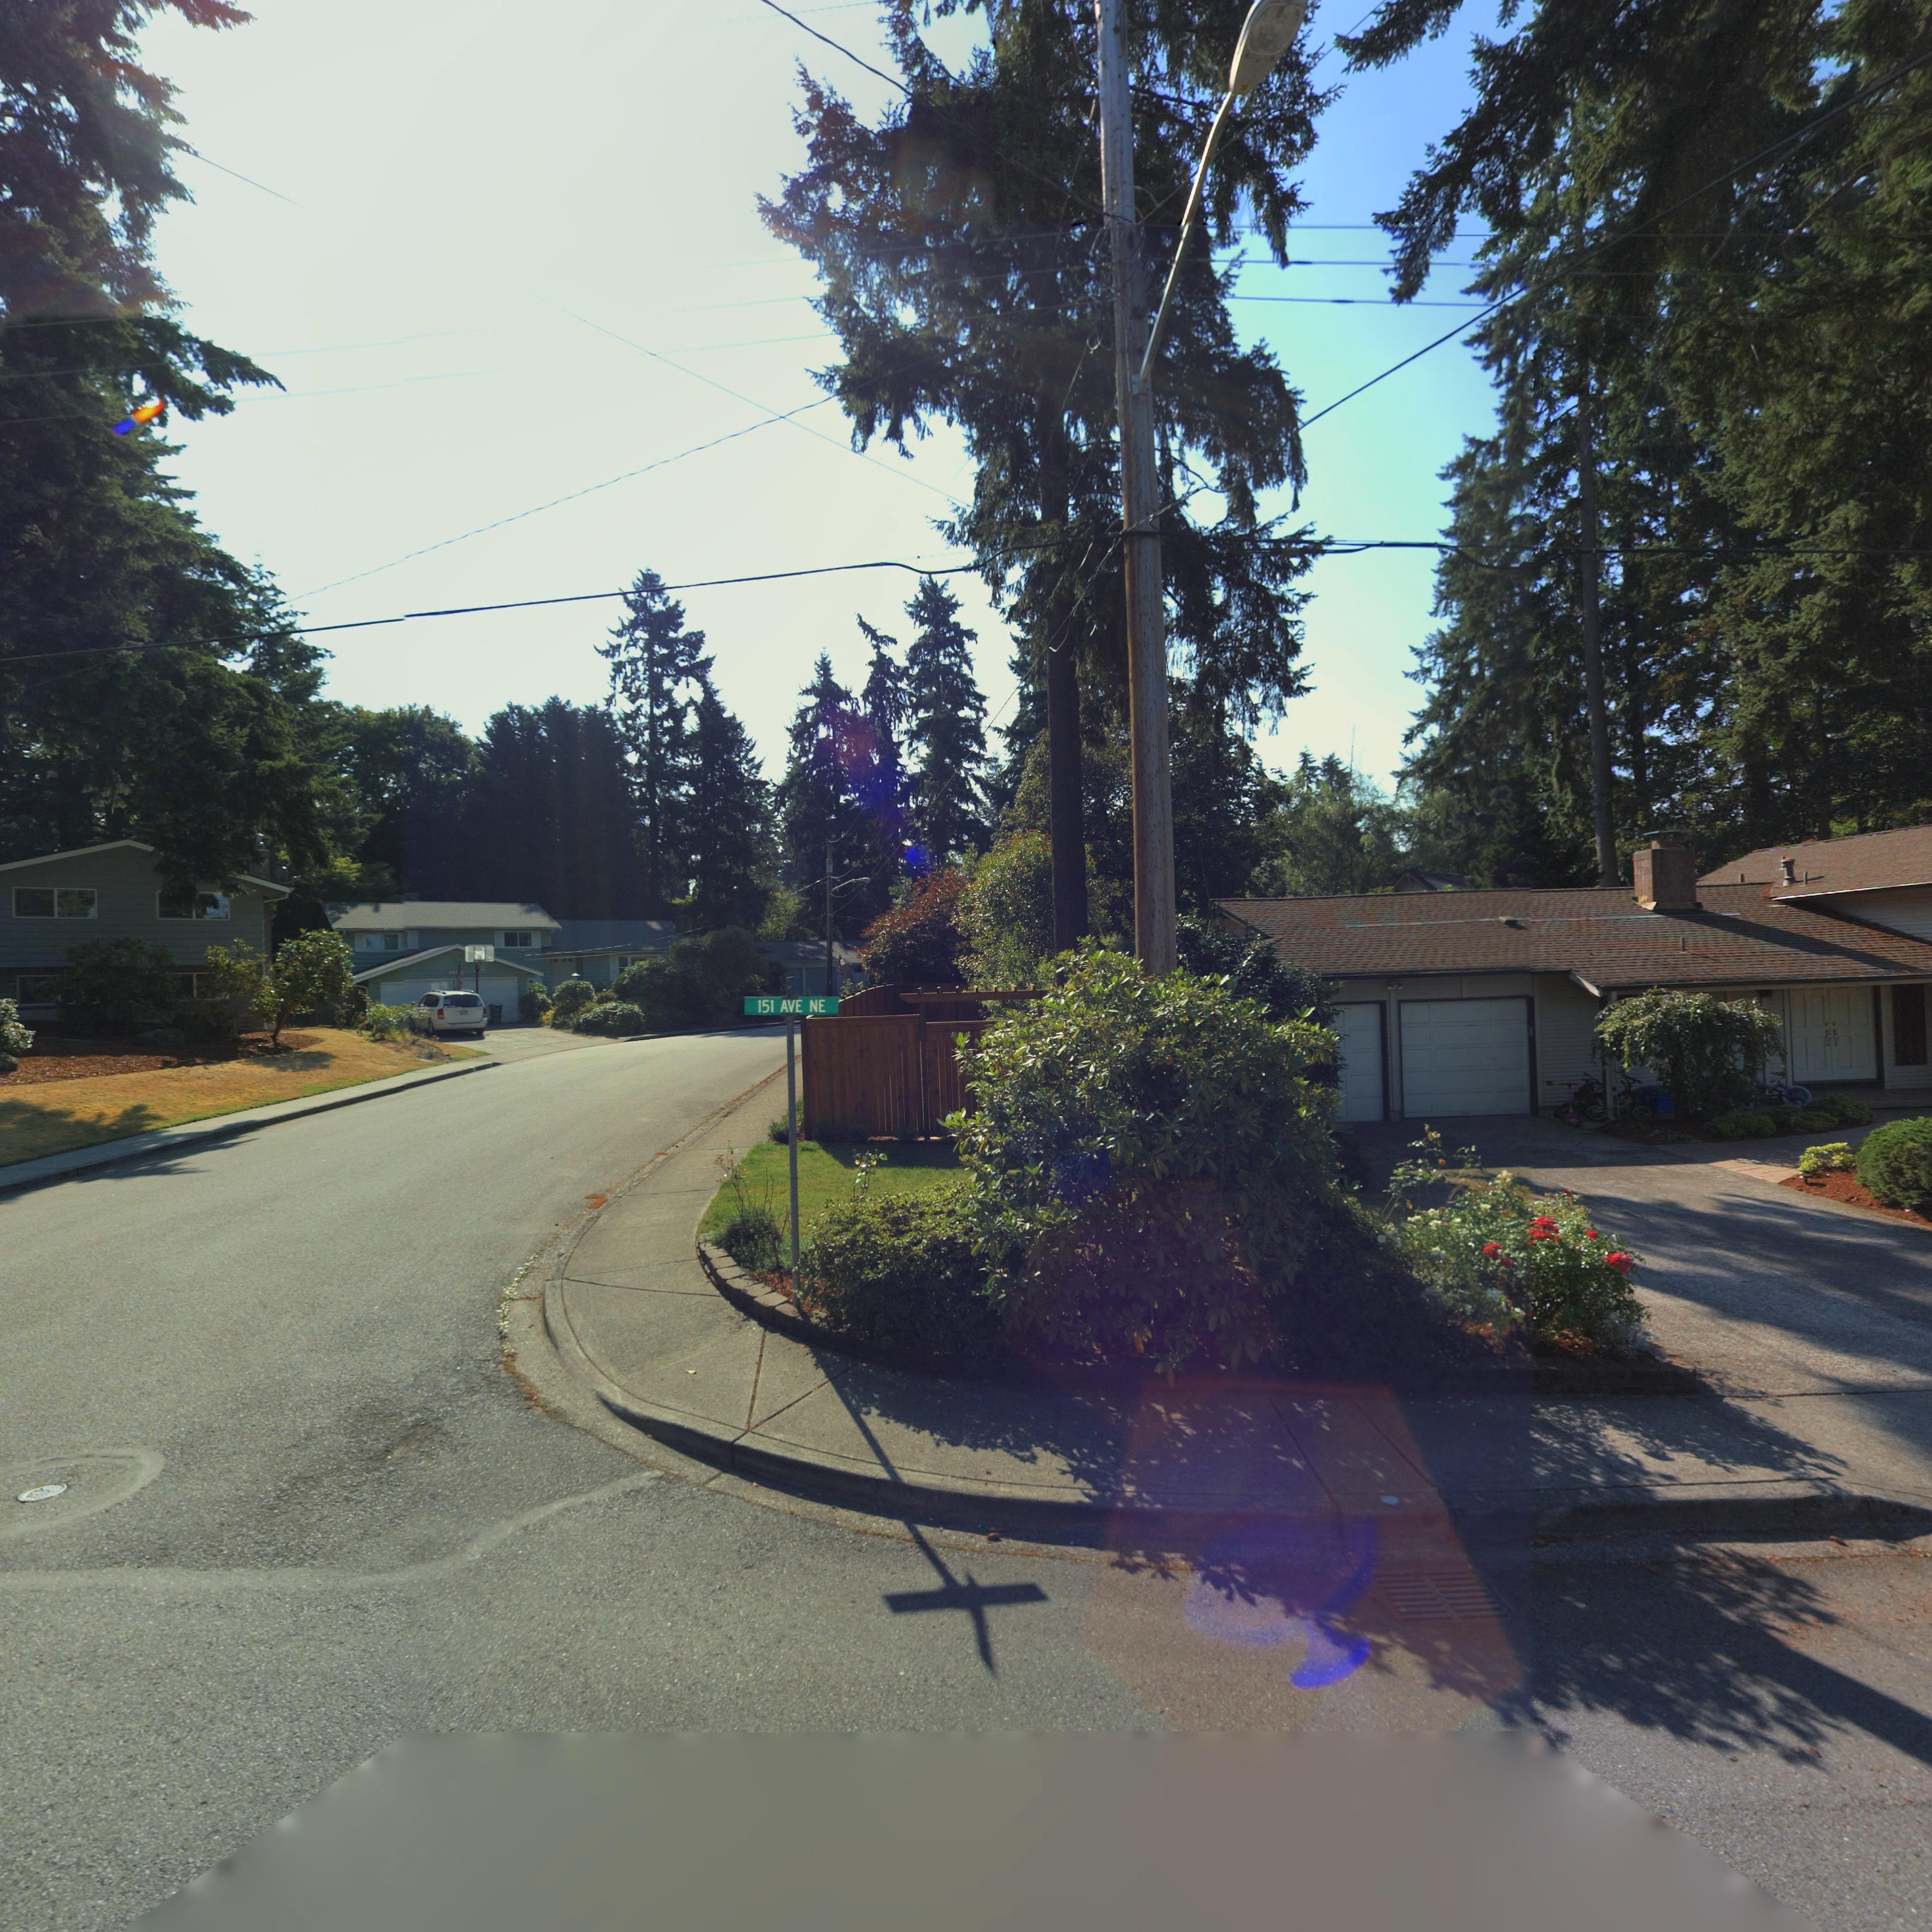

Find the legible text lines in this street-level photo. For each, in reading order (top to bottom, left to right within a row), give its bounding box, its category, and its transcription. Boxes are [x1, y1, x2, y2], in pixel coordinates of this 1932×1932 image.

[757, 1000, 825, 1013] StreetName: 151 AVE NE